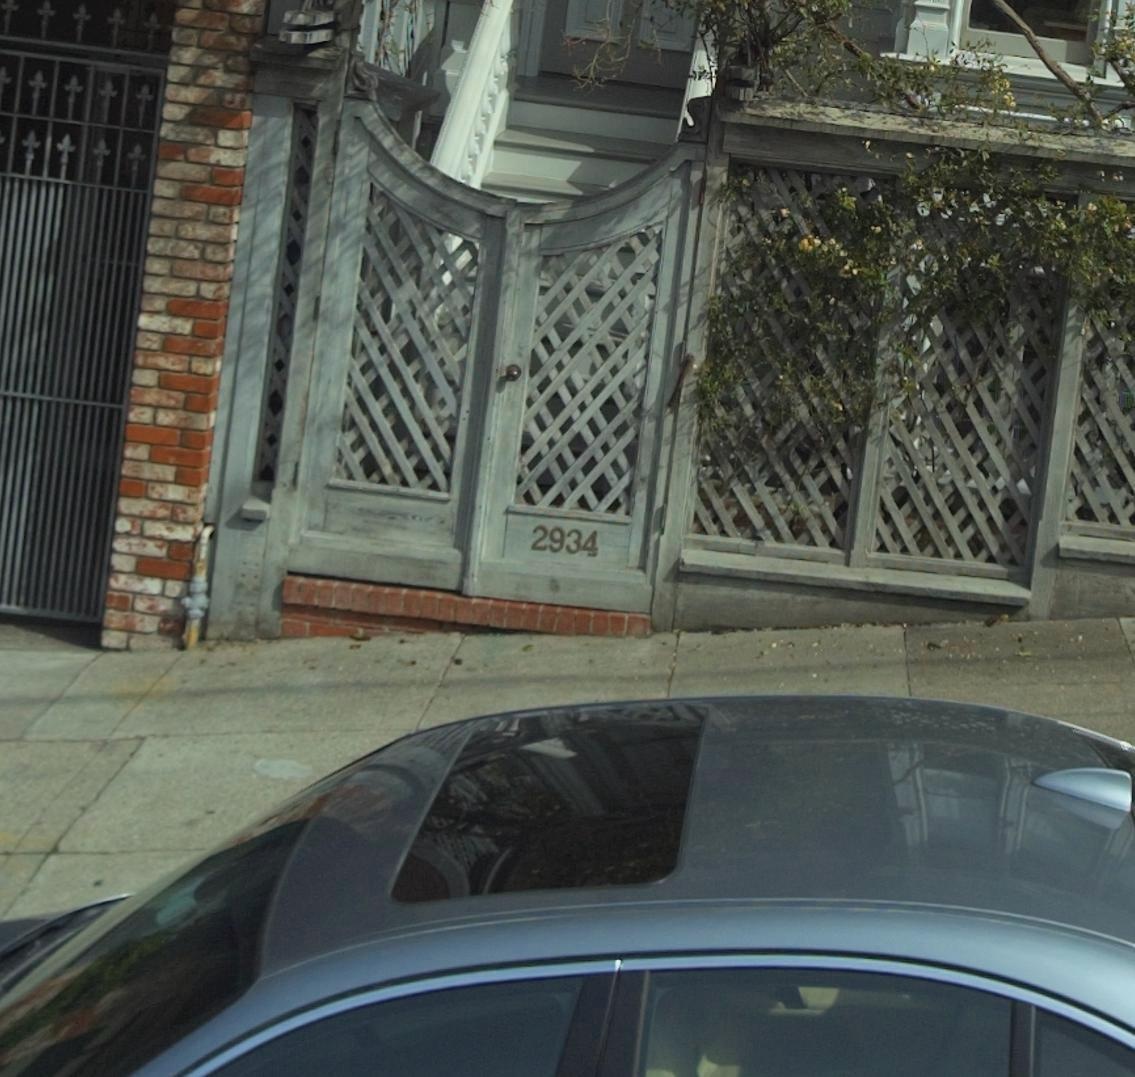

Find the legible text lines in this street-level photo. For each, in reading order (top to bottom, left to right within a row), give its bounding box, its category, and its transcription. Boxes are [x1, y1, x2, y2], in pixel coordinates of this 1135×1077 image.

[528, 523, 602, 560] StreetNumber: 2934